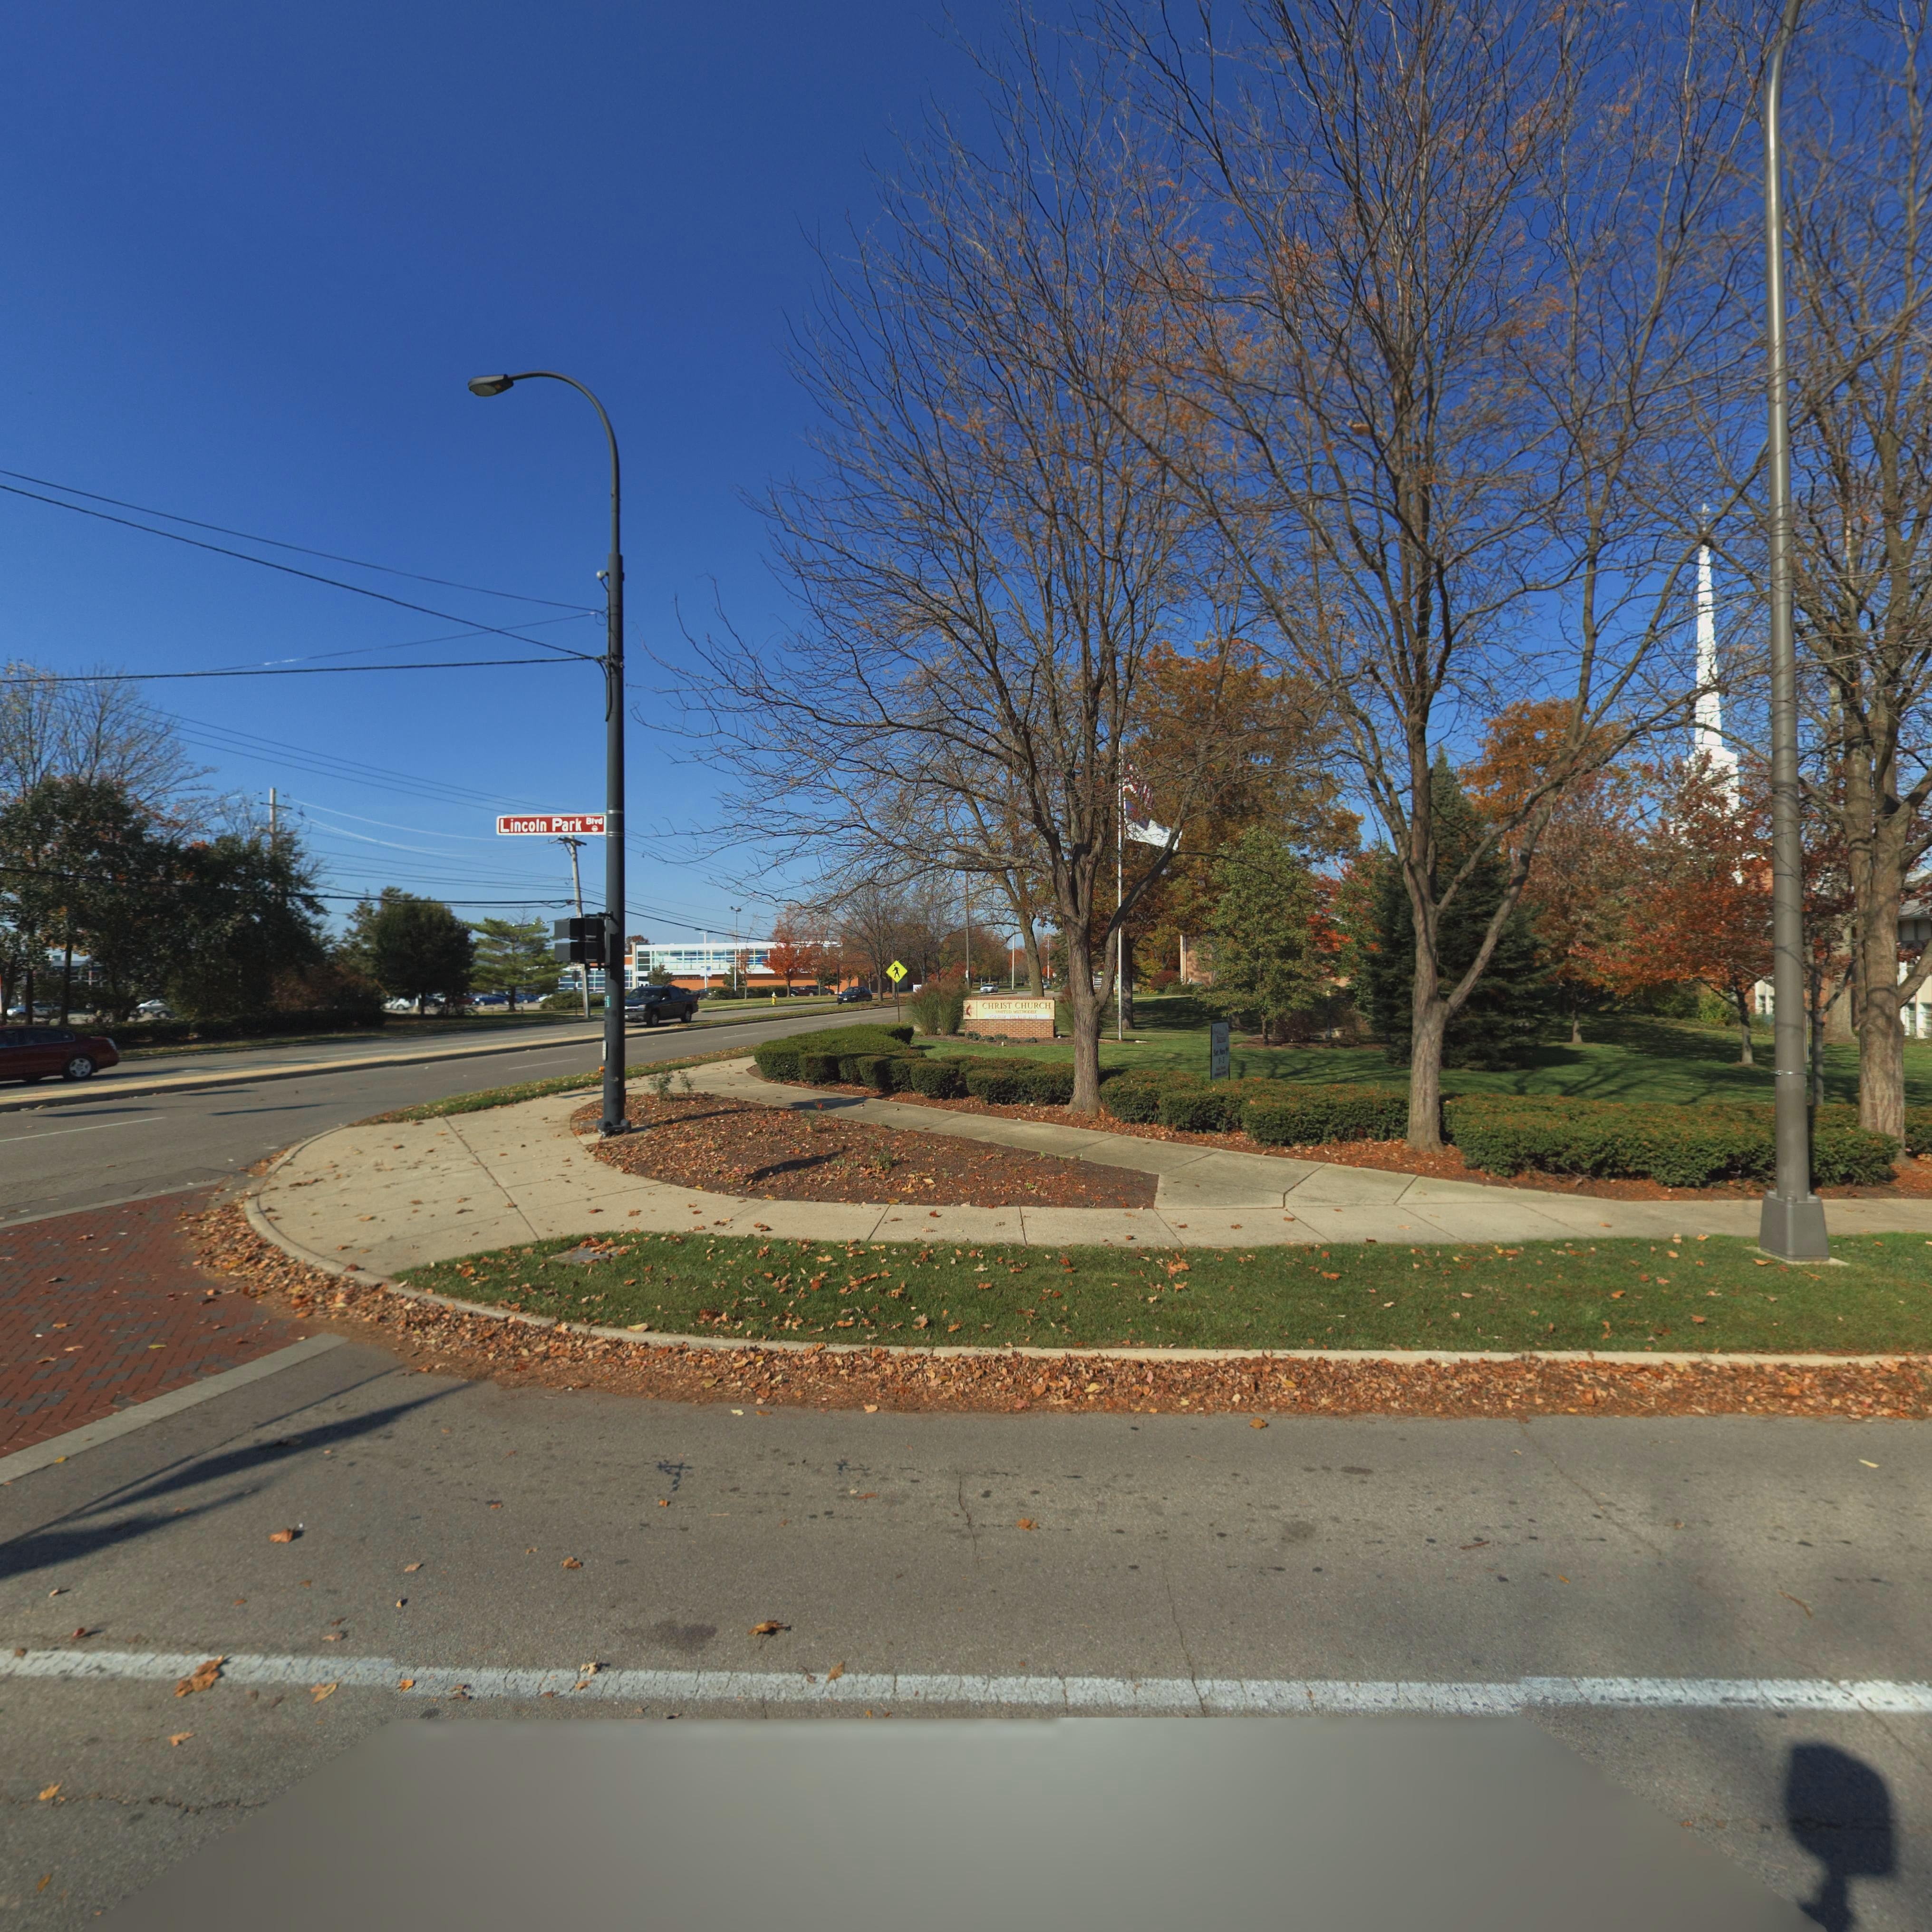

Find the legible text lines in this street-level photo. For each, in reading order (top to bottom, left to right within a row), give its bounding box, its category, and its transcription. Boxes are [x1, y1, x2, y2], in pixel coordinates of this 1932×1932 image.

[499, 817, 603, 833] StreetName: Lincoln Park Blvd
[981, 1002, 1050, 1009] BusinessName: CHRIST CHURCH